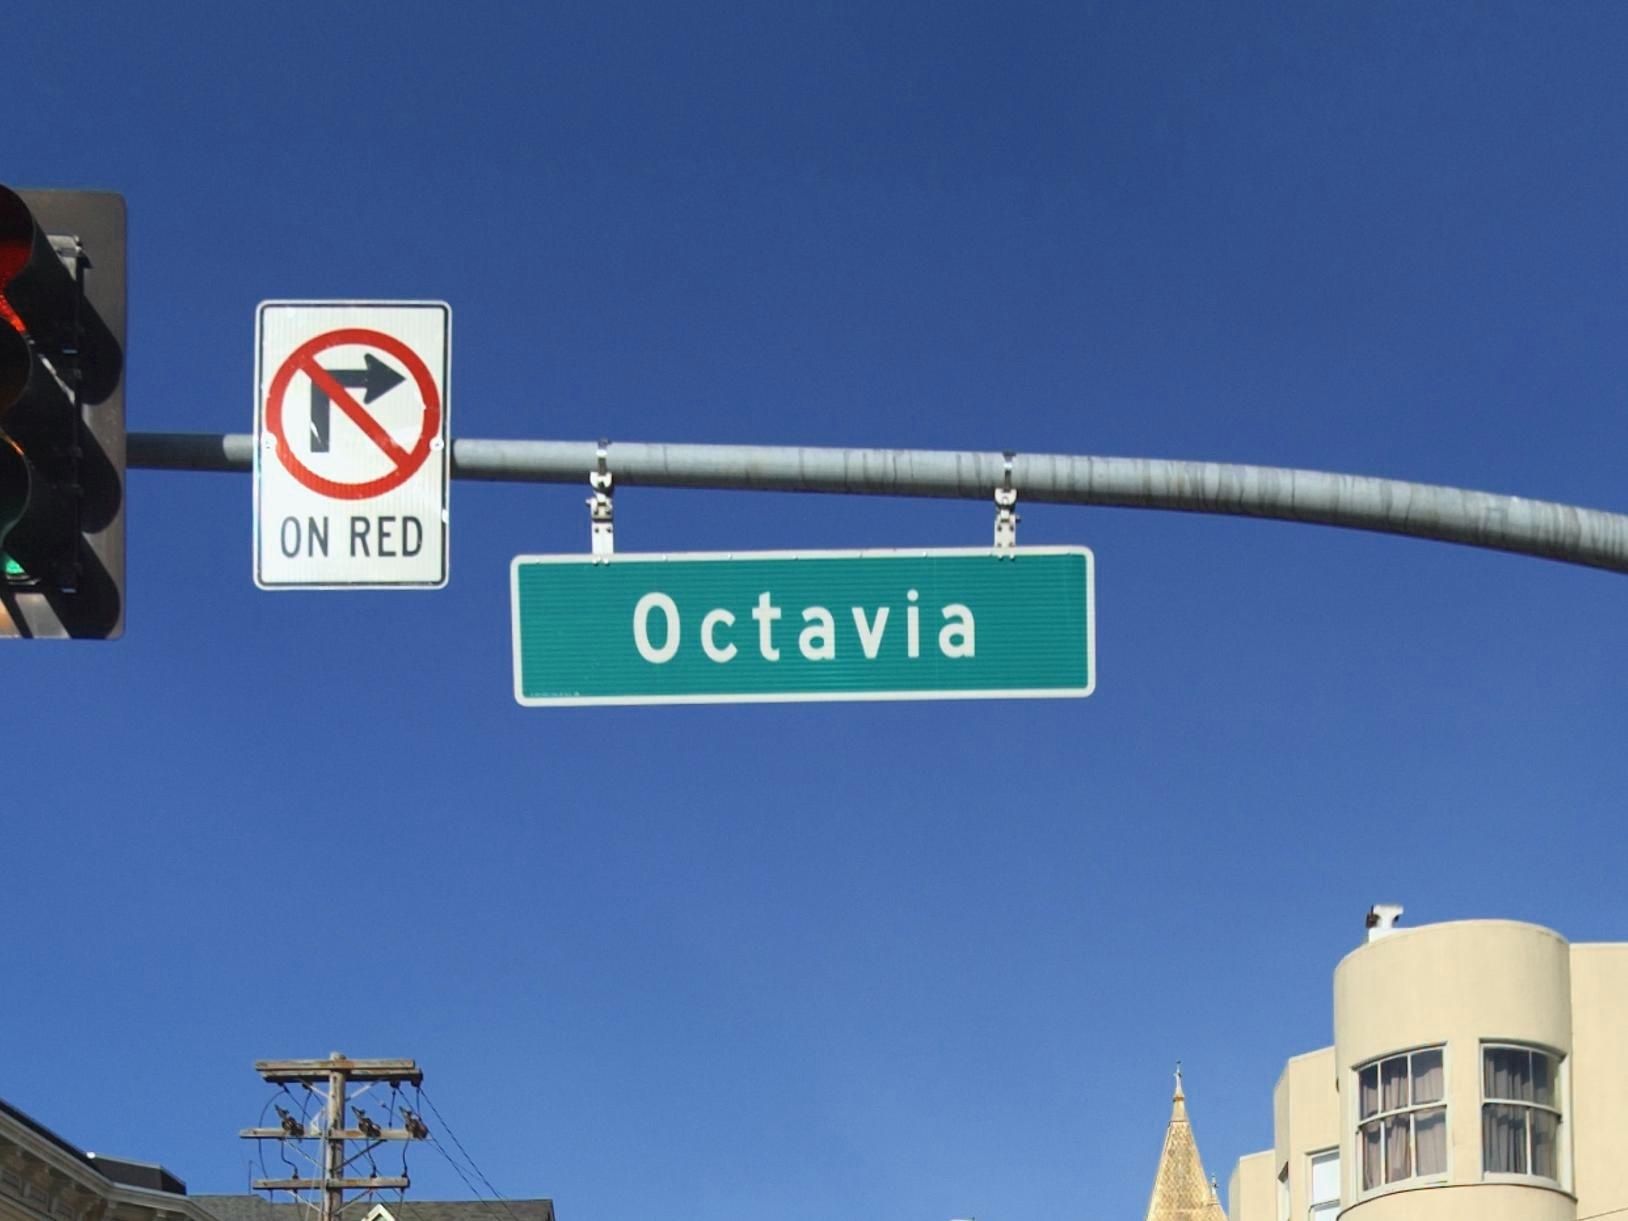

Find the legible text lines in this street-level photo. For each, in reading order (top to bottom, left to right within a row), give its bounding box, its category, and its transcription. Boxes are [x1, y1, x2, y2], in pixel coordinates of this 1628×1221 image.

[275, 510, 426, 560] None: ON RED
[626, 585, 978, 668] StreetName: Octavia